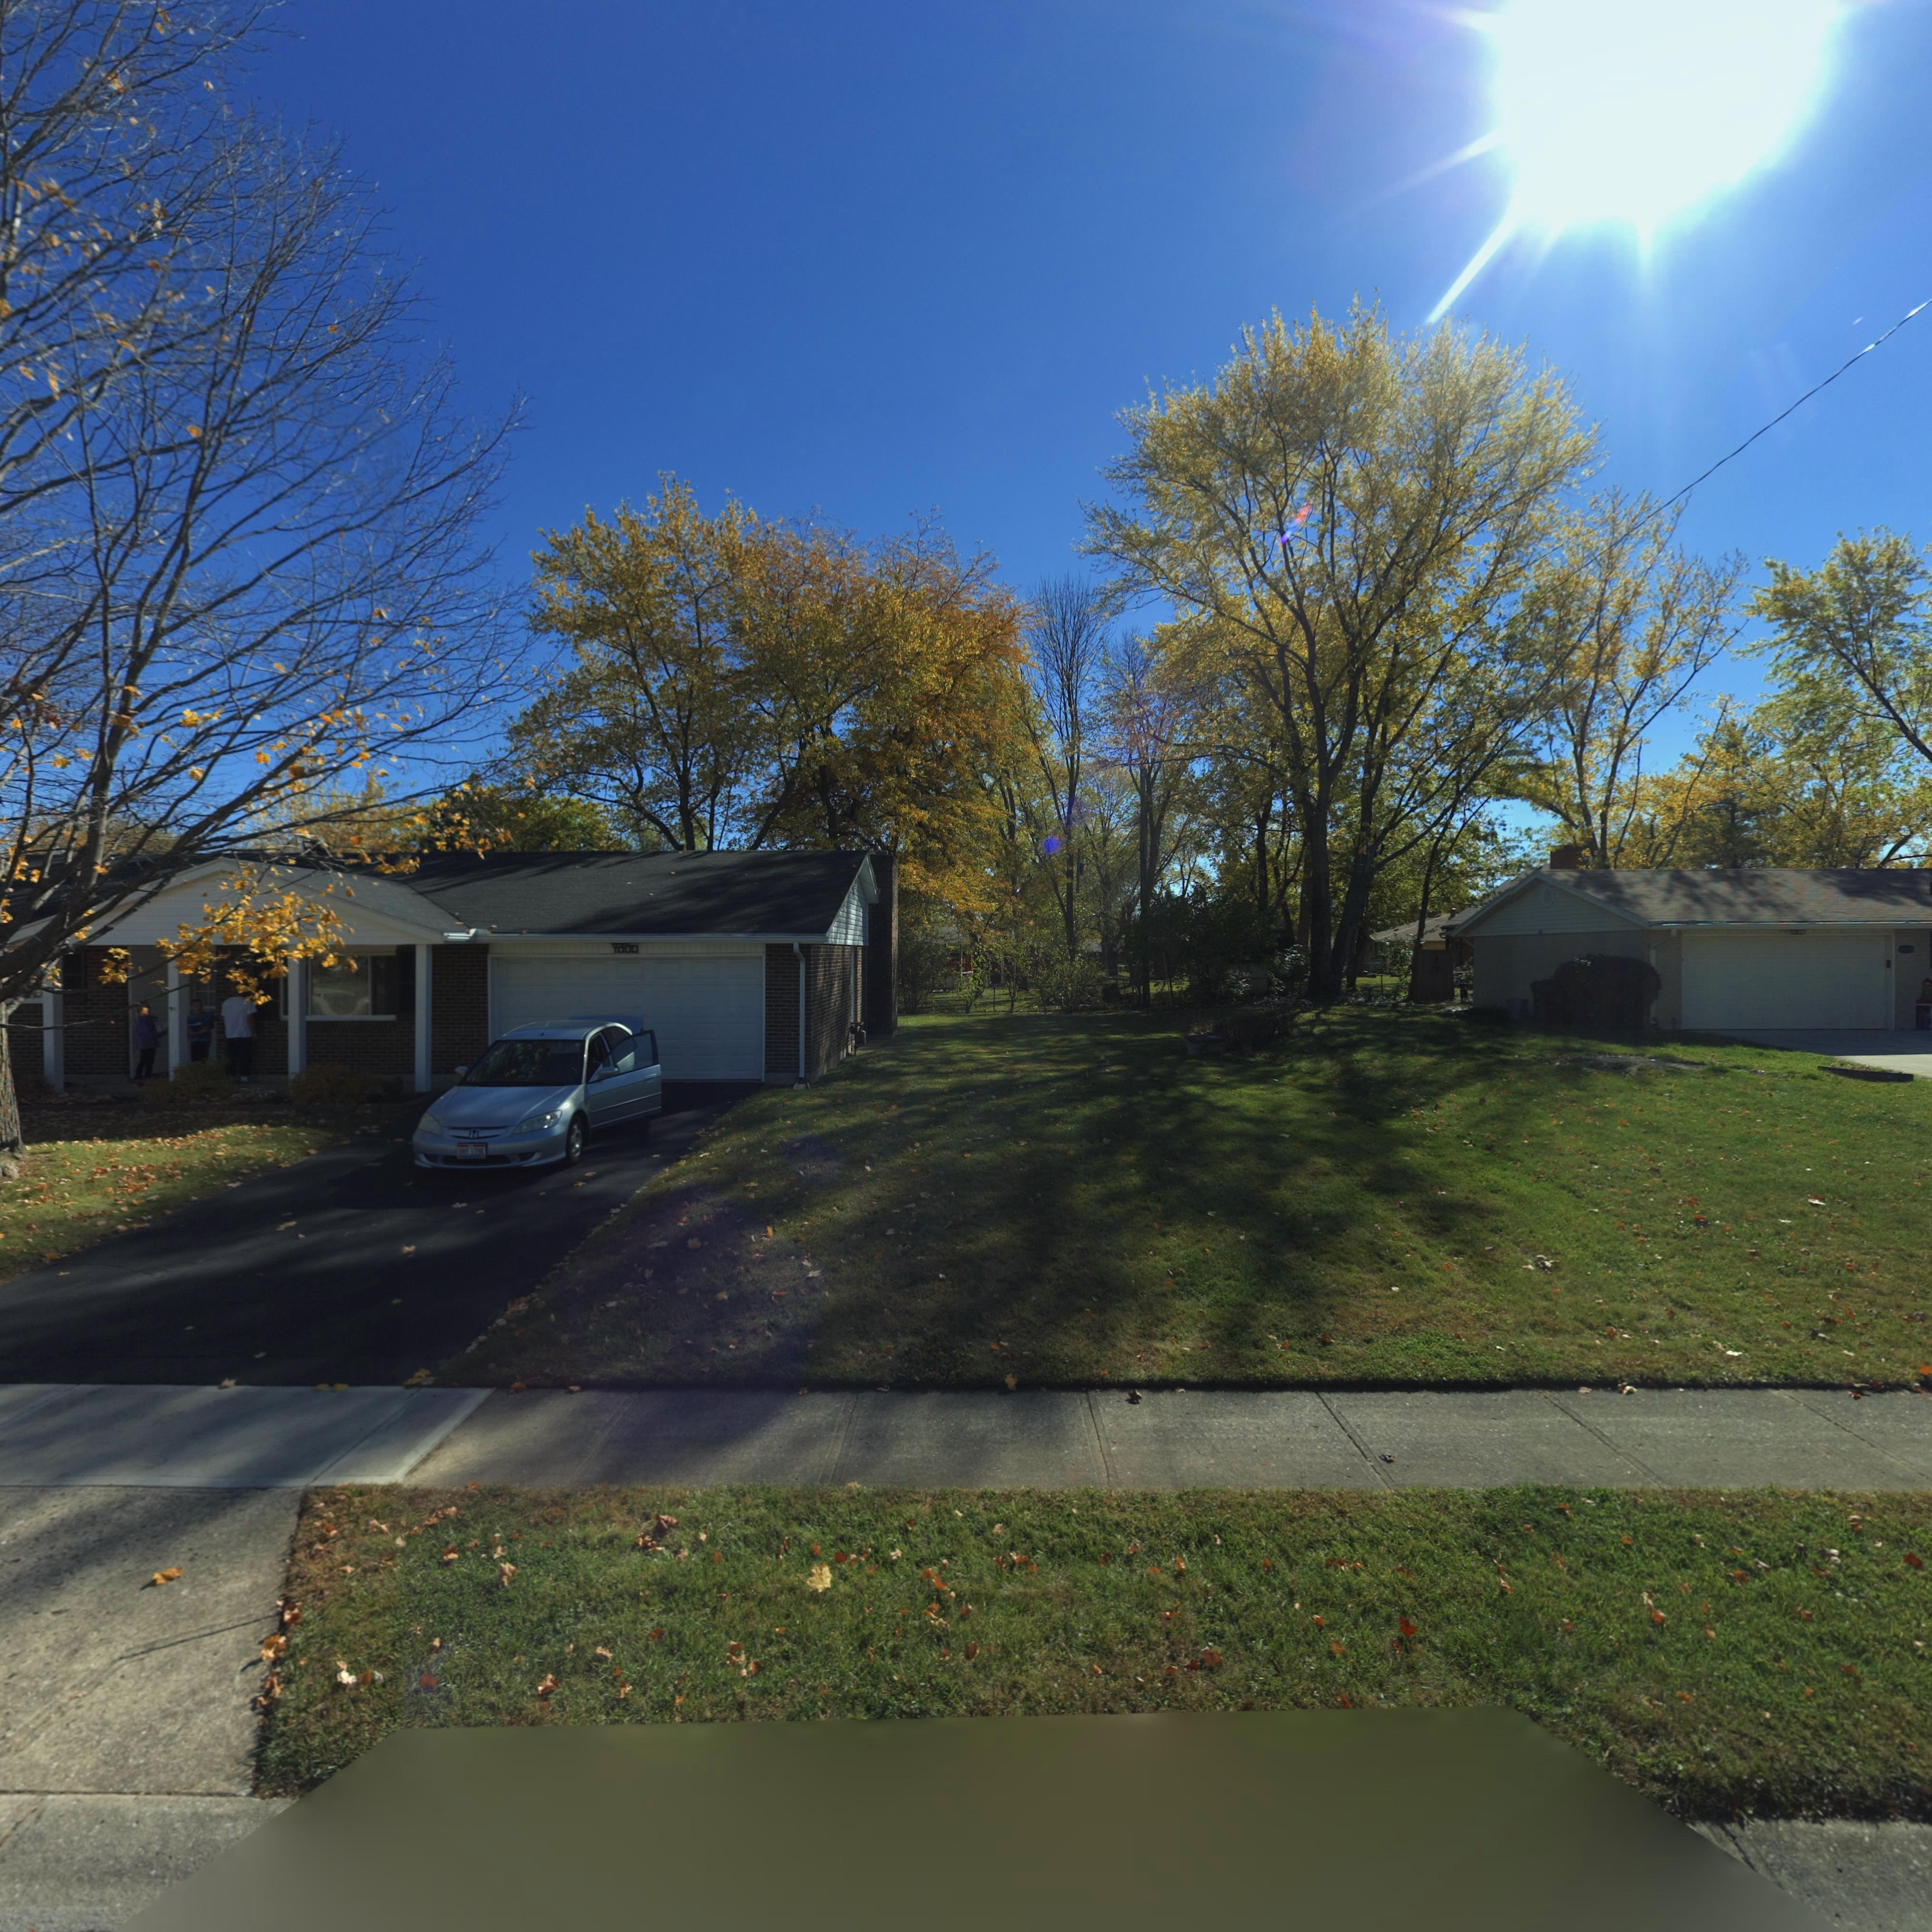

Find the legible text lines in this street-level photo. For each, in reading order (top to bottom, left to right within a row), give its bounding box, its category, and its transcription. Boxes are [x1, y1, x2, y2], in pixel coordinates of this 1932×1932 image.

[613, 944, 638, 954] StreetNumber: **00